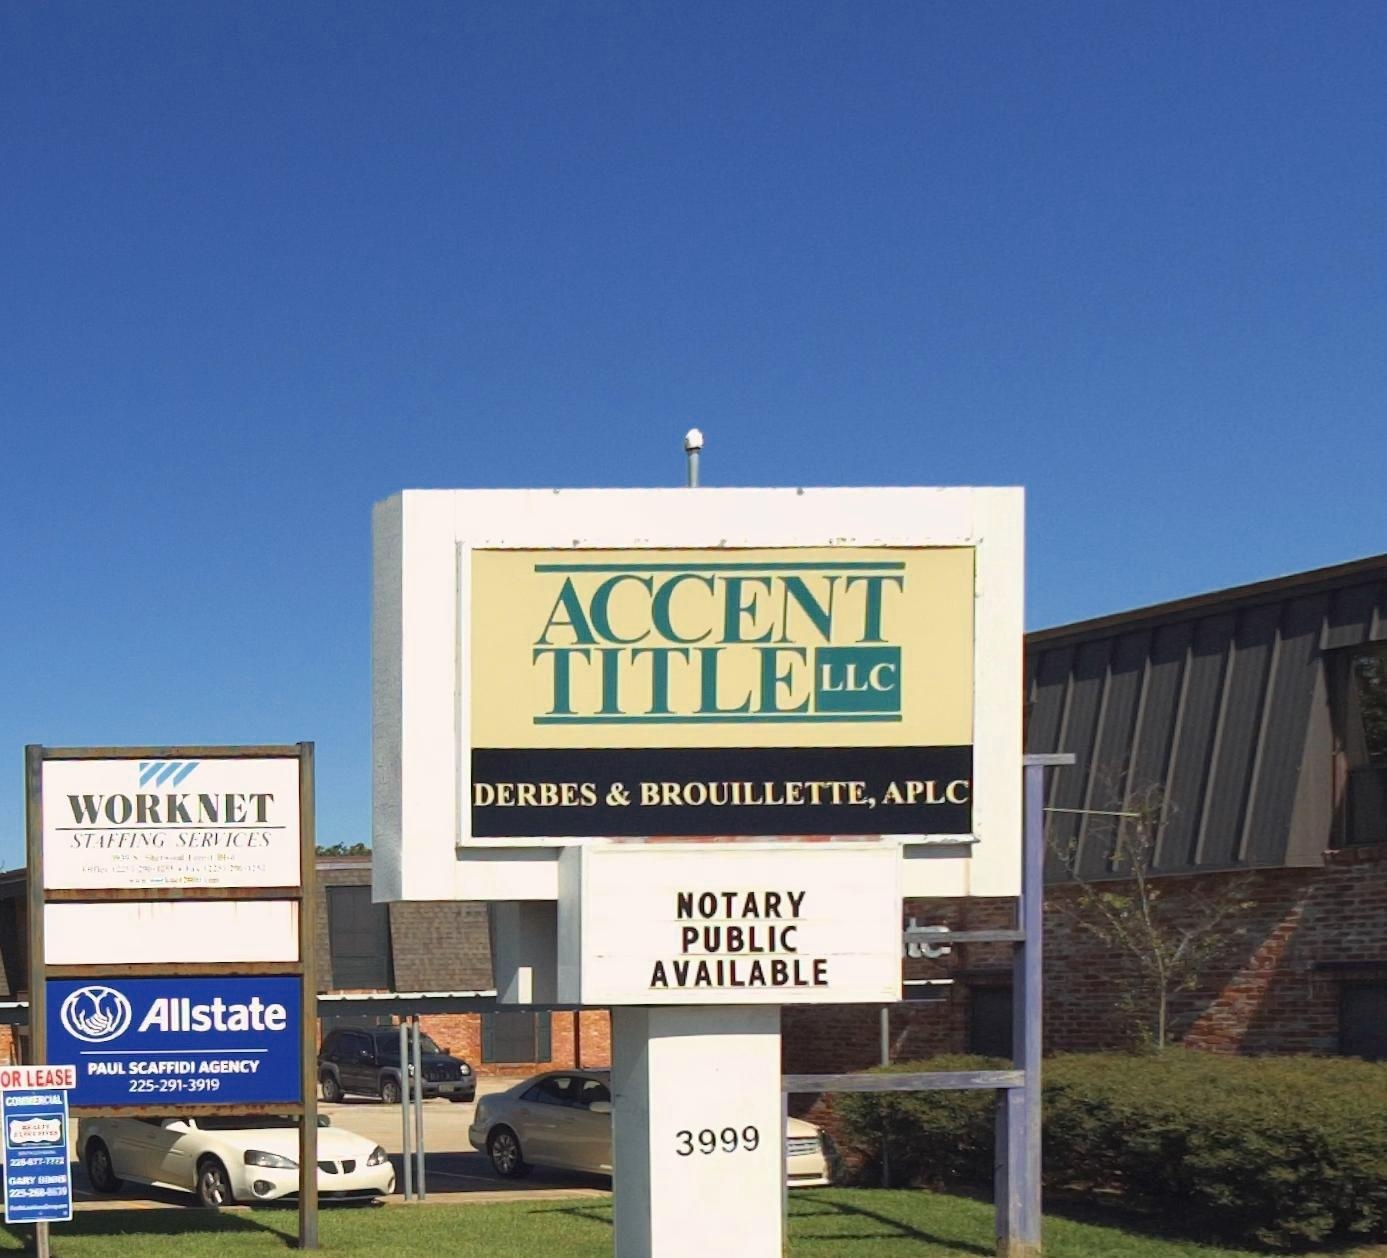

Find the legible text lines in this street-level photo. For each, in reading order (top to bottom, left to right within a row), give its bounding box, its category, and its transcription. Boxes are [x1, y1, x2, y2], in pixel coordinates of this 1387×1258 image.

[527, 570, 909, 648] BusinessName: ACCENT
[525, 640, 900, 719] BusinessName: TITLE LLC
[62, 790, 278, 828] BusinessName: WORKNET
[470, 776, 972, 813] None: DERBES & BROUILLETE, APLC
[65, 829, 276, 853] None: STAFFING SERVICES
[673, 886, 811, 923] None: NOTARY
[678, 923, 800, 956] None: PUBLIC
[645, 954, 832, 992] None: AVAILABLE
[133, 993, 290, 1035] BusinessName: Allstate
[2, 1091, 66, 1109] None: CO****C**L
[0, 1065, 75, 1091] None: OR LEASE
[85, 1057, 264, 1078] None: PAUL SAFFIDI AGENCY
[126, 1076, 223, 1095] None: 225-291-3919
[672, 1122, 762, 1161] None: 3999